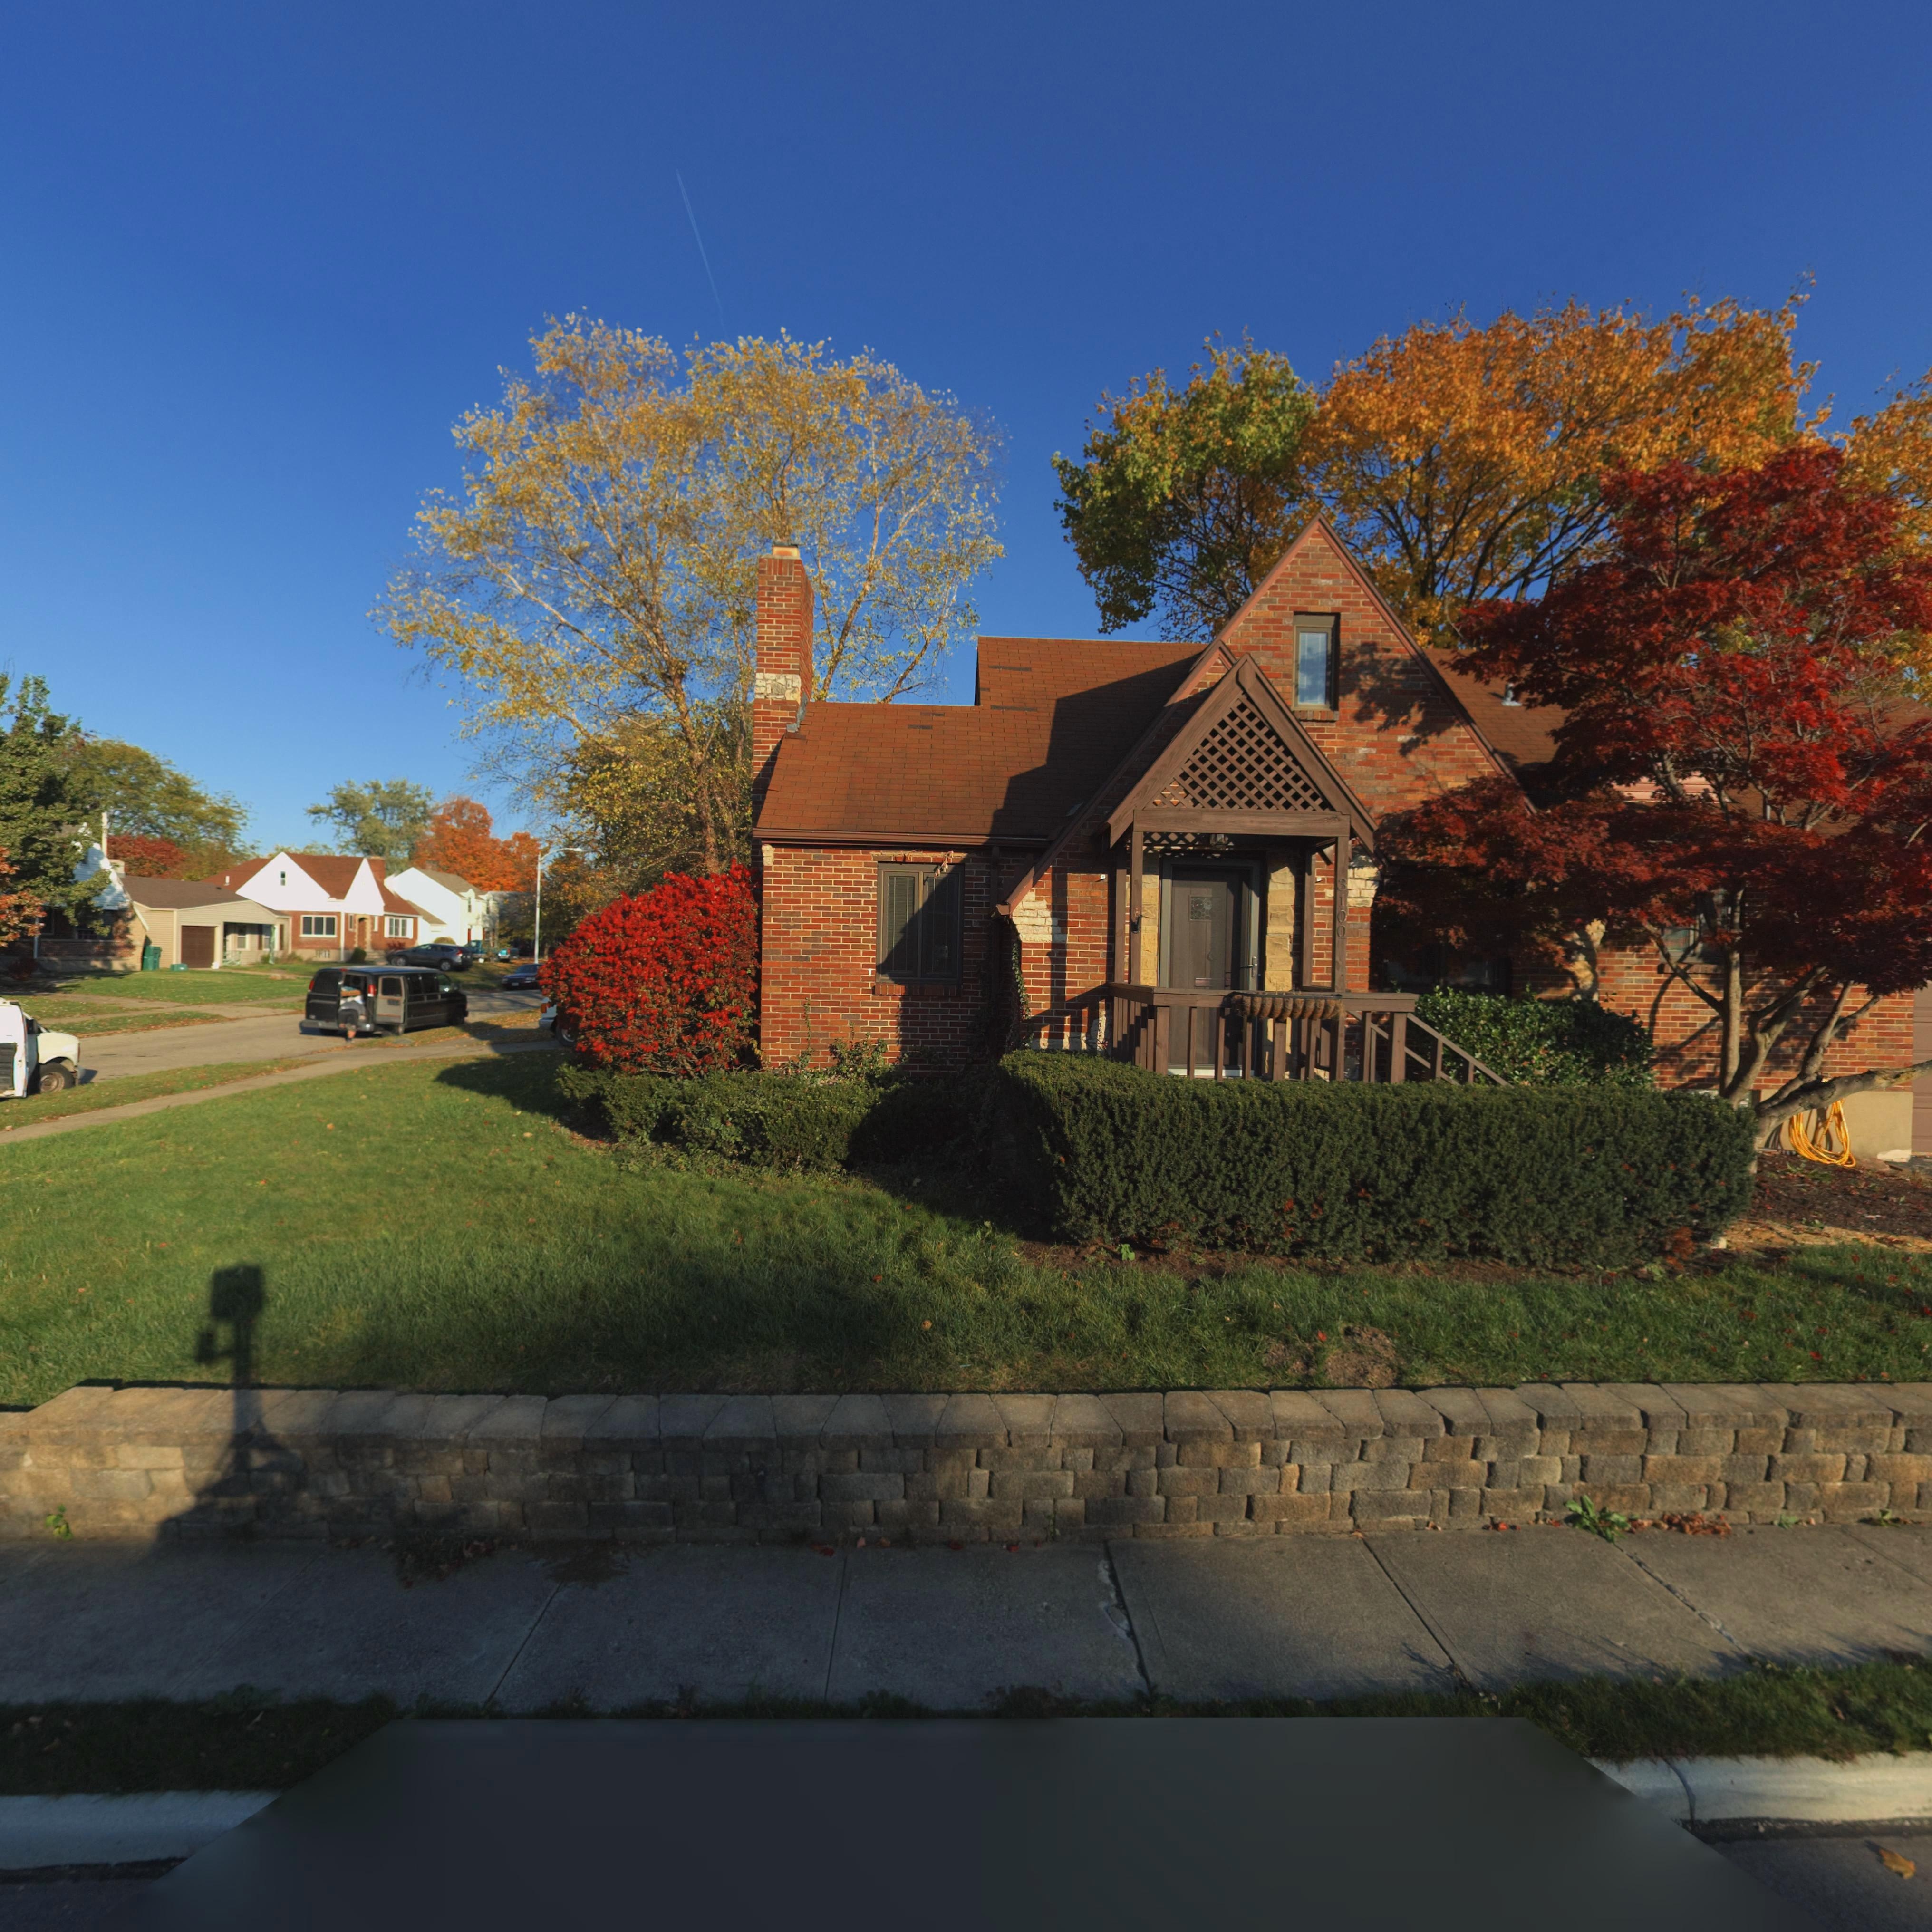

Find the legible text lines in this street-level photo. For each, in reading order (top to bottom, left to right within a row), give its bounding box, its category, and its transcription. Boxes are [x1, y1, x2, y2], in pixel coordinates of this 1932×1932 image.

[1335, 876, 1348, 939] StreetNumber: 3100